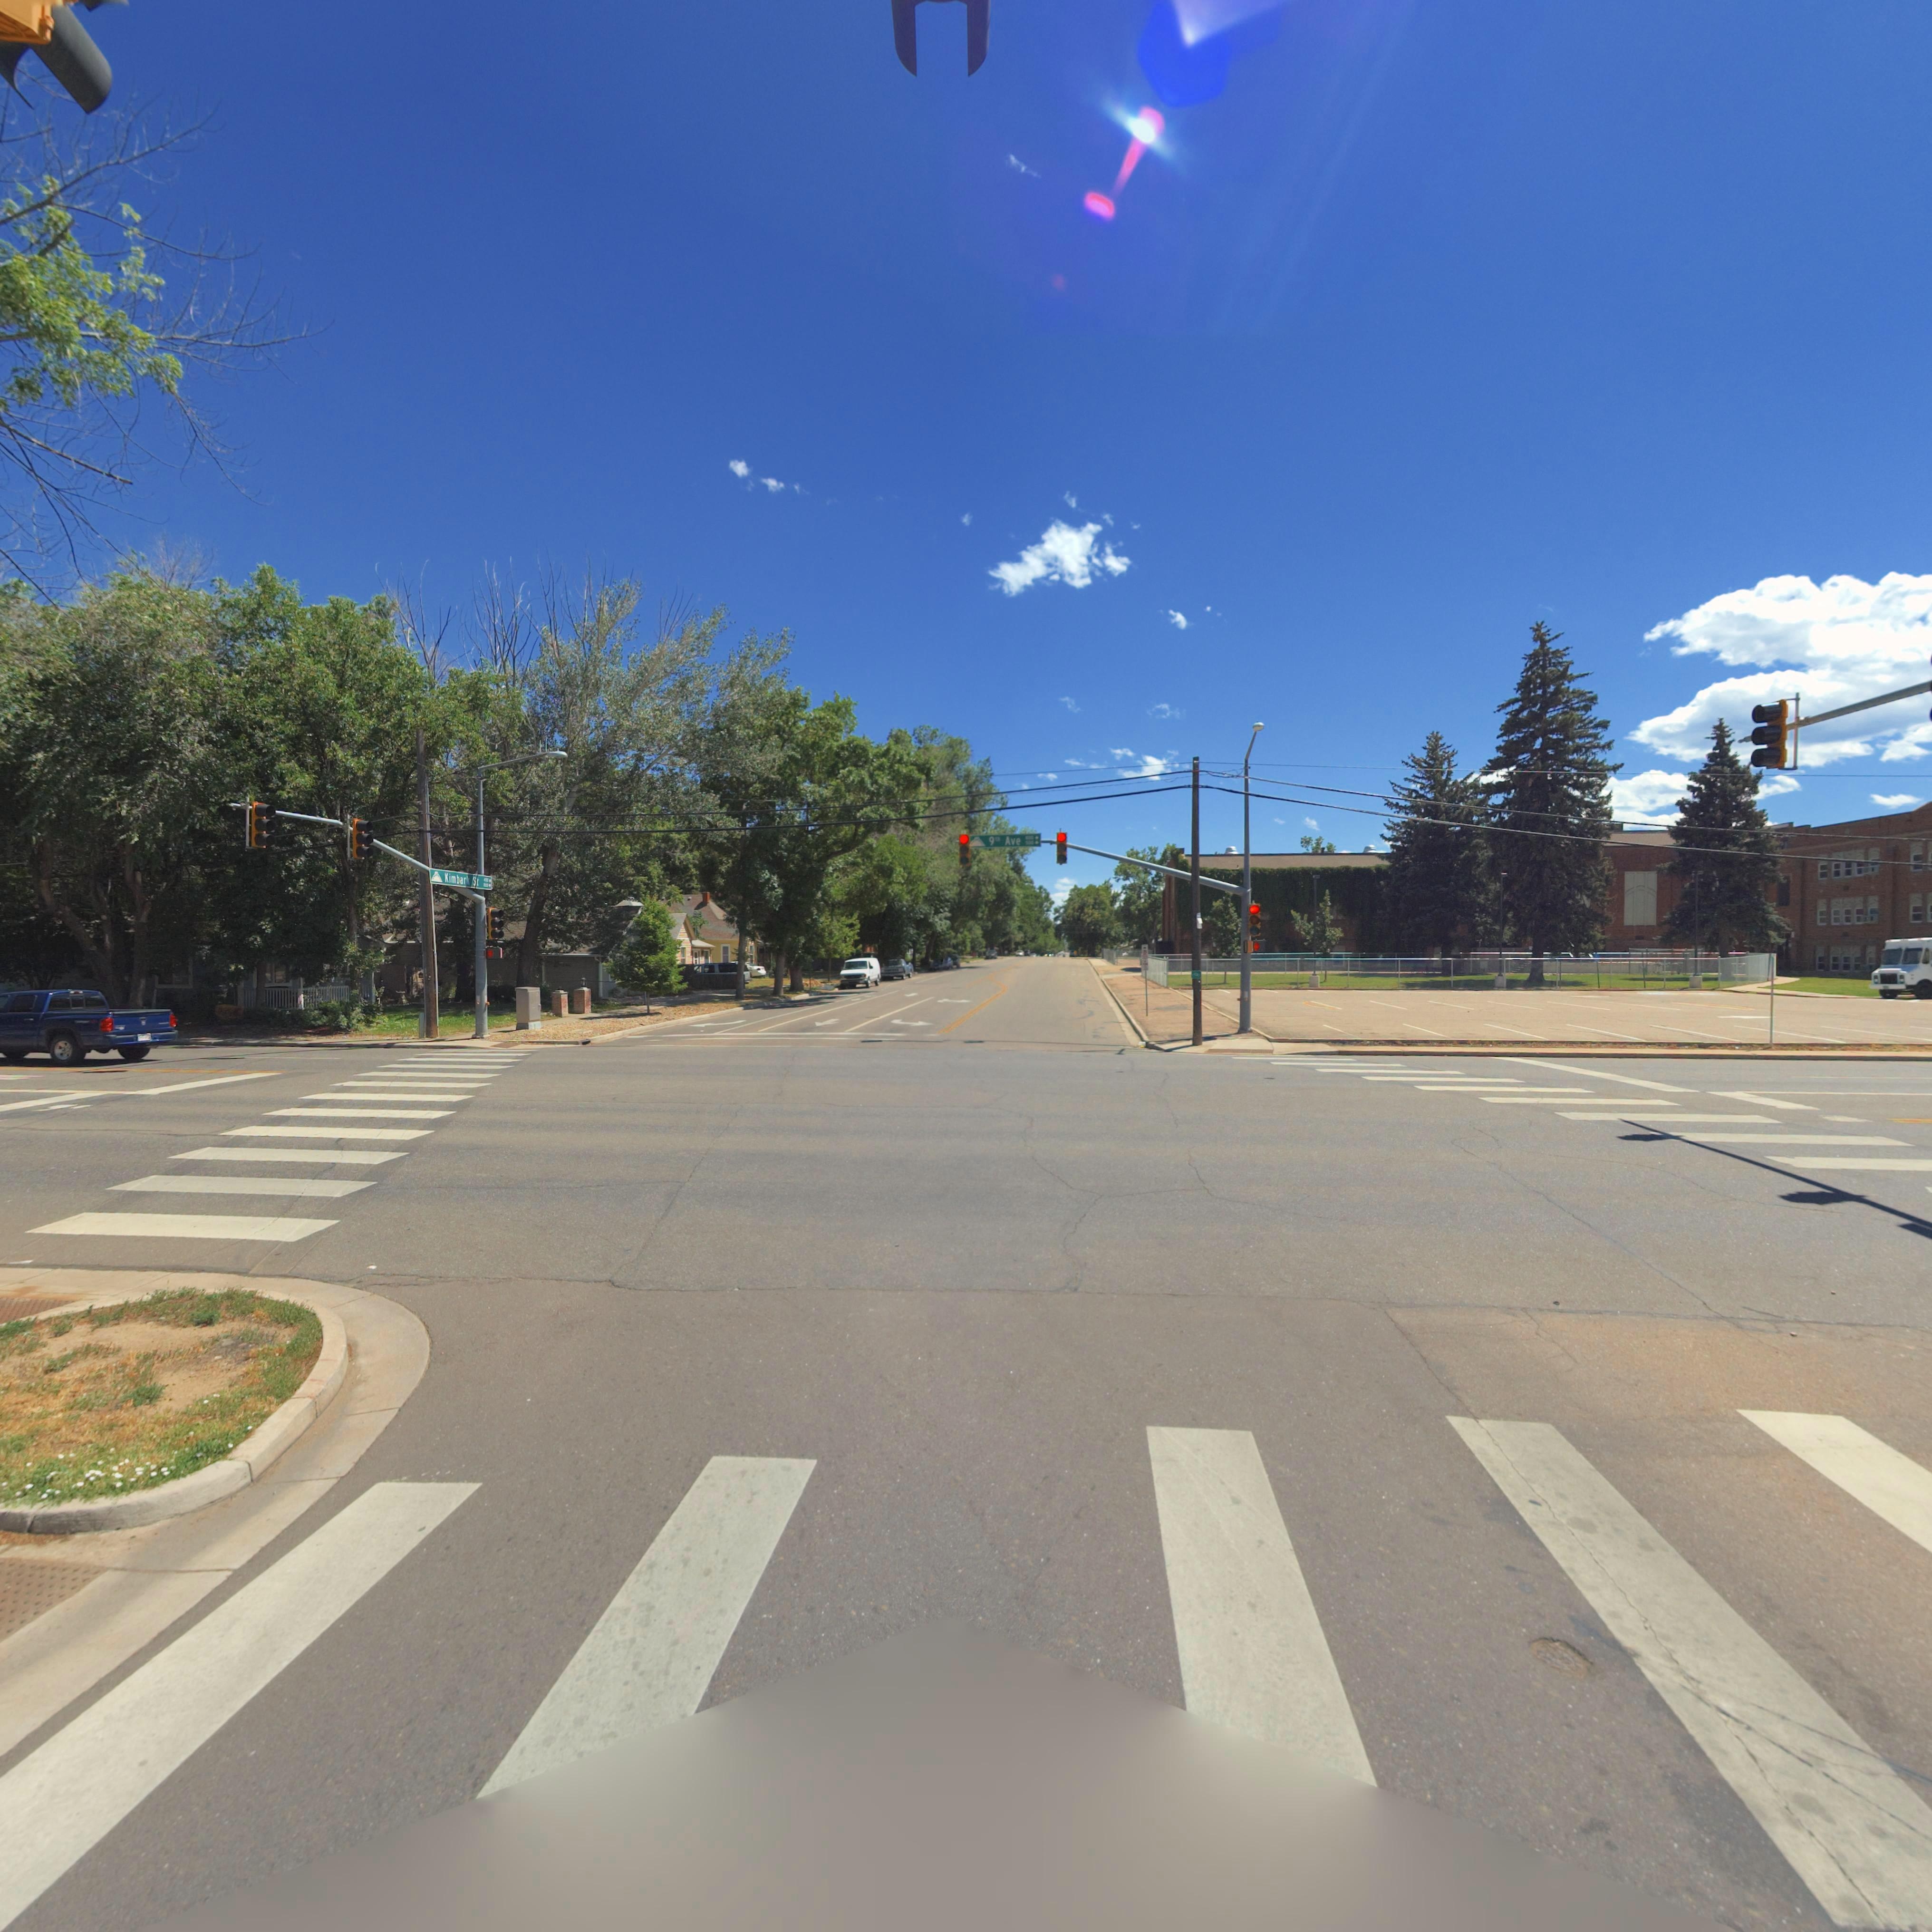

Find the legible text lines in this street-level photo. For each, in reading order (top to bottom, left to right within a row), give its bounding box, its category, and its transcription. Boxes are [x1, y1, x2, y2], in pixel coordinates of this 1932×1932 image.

[988, 835, 1021, 846] StreetName: 9th Ave
[1025, 840, 1039, 845] StreetNumberRange: 500->
[444, 872, 479, 886] StreetName: Kimbark St
[483, 877, 489, 882] StreetName: 4**